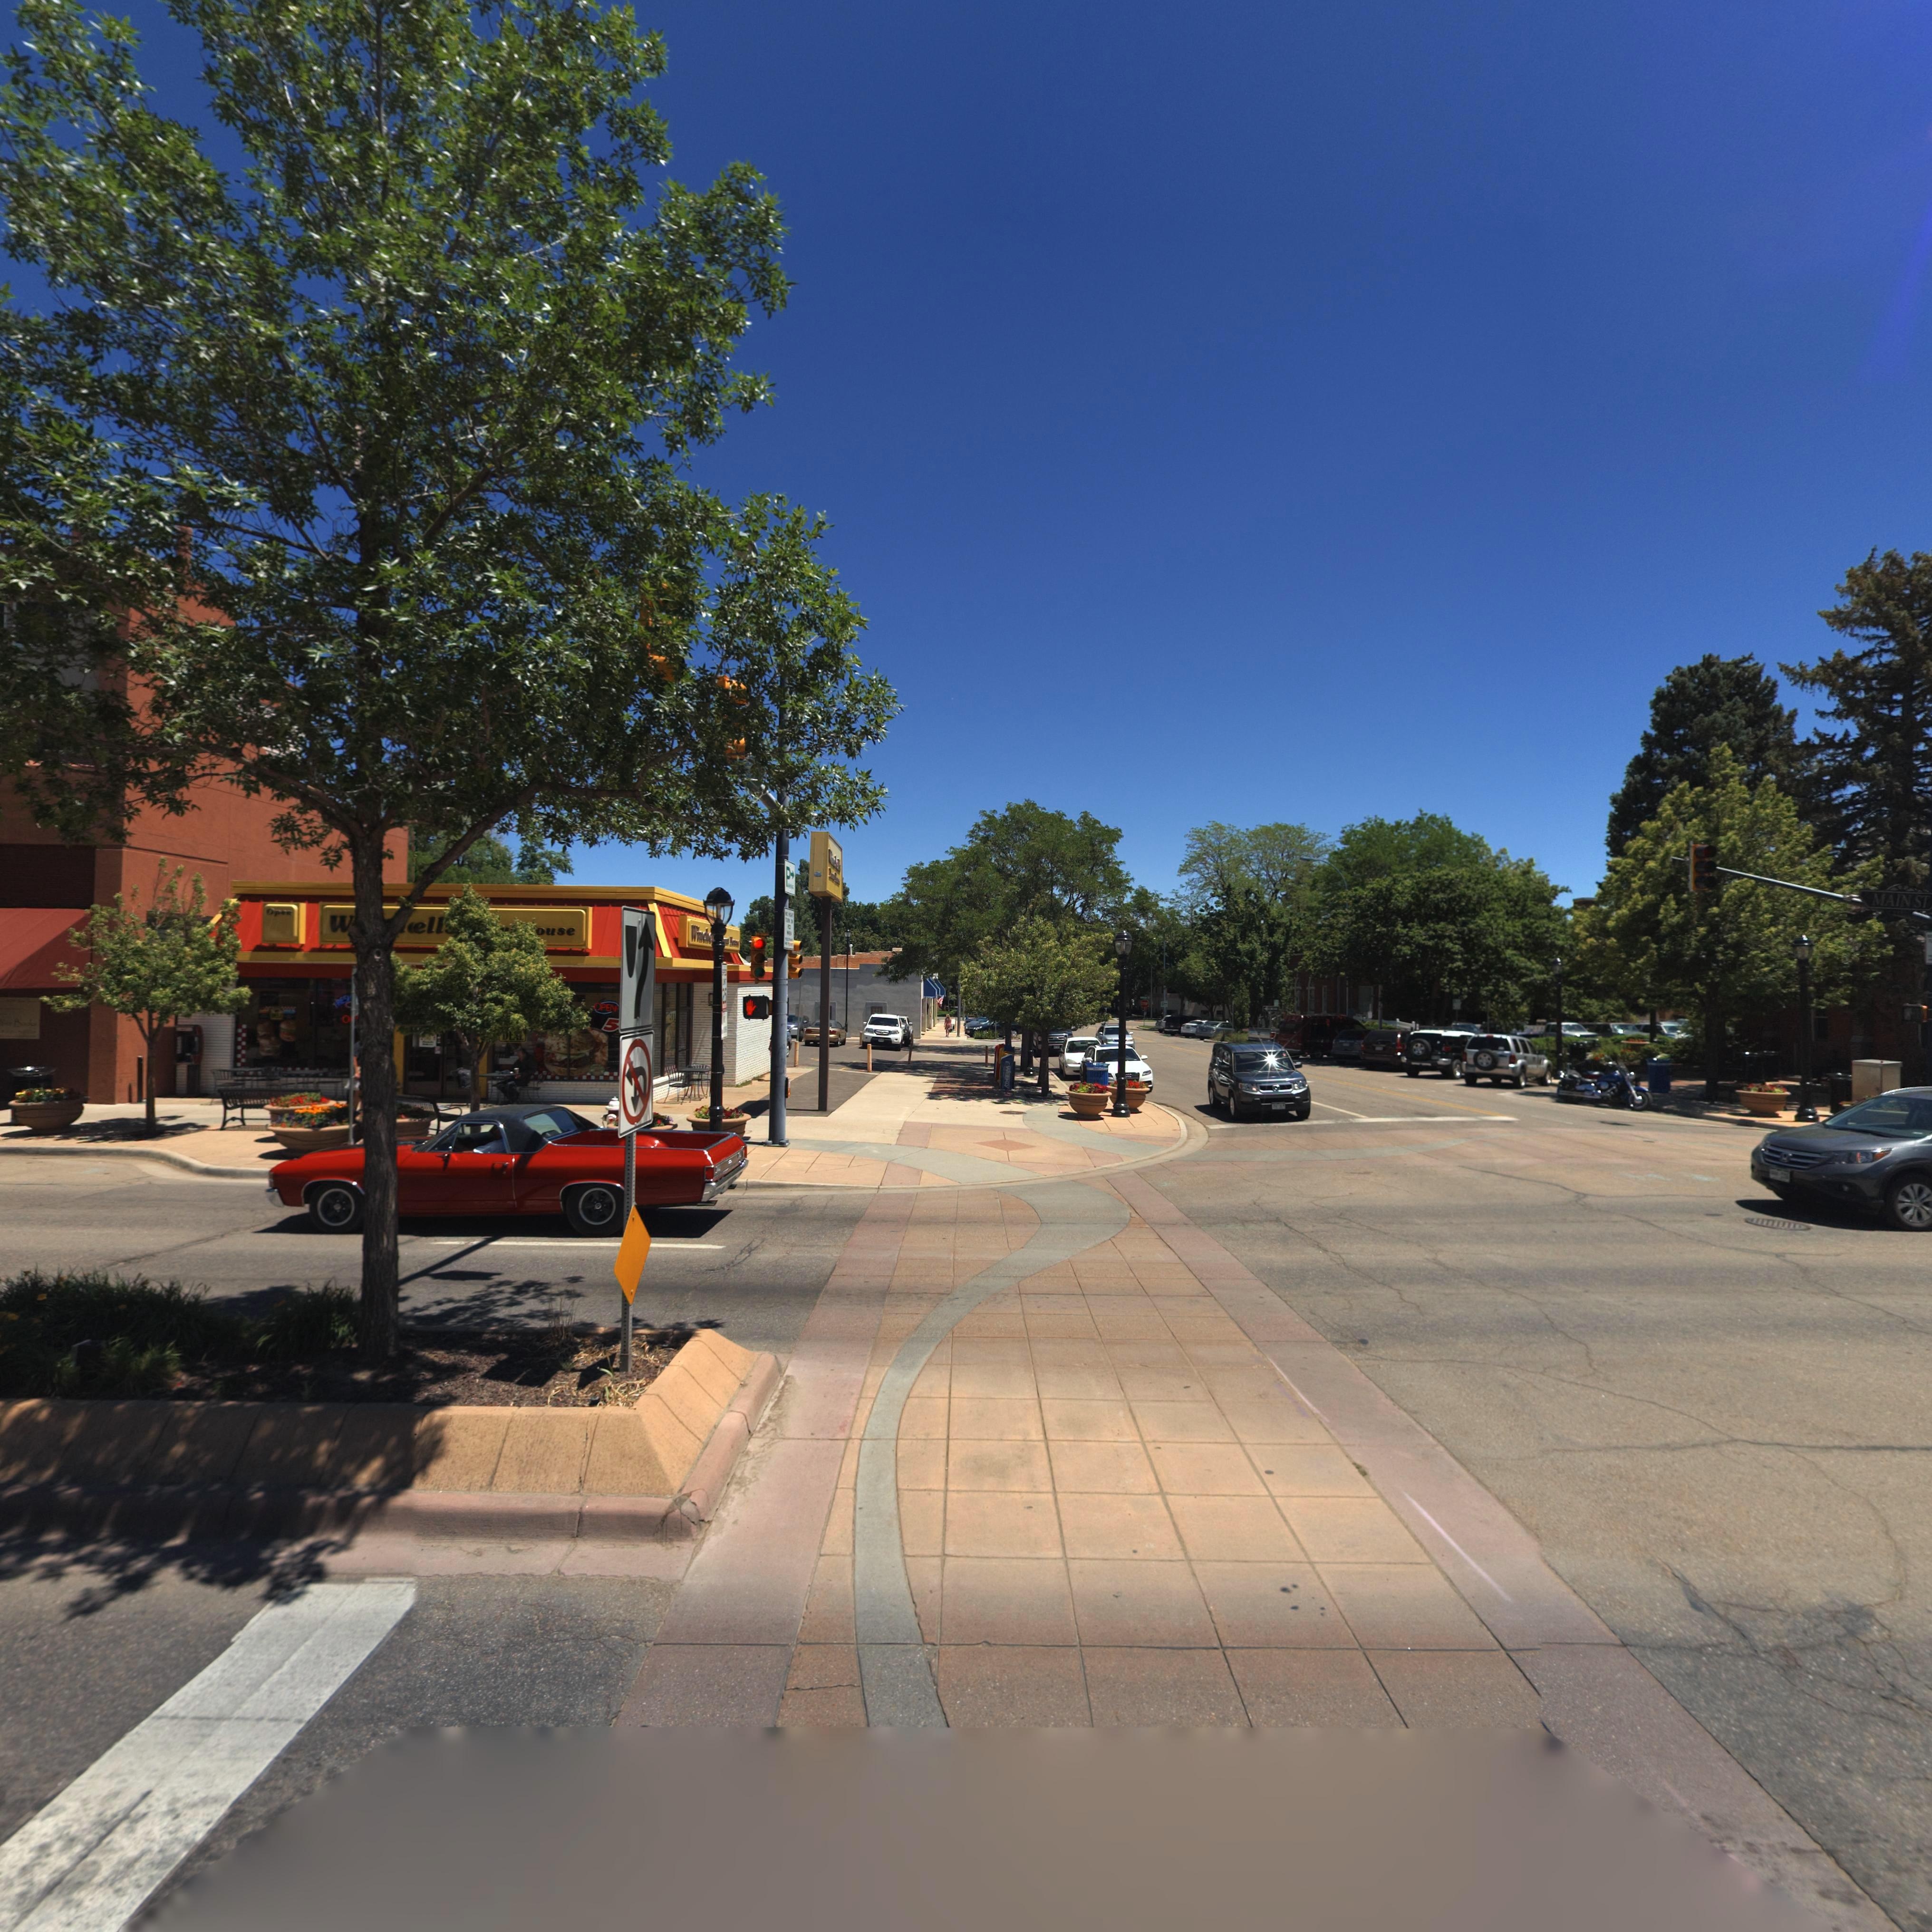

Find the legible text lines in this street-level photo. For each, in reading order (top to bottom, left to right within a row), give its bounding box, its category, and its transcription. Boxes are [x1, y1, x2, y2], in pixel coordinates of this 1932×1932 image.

[828, 847, 841, 872] BusinessName: Winchell's
[828, 867, 840, 885] BusinessName: Donut House
[1872, 892, 1930, 908] StreetName: MAIN ST
[328, 914, 578, 936] None: W****ell** ***** *ouse
[690, 923, 739, 948] BusinessName: Winche* *ut House